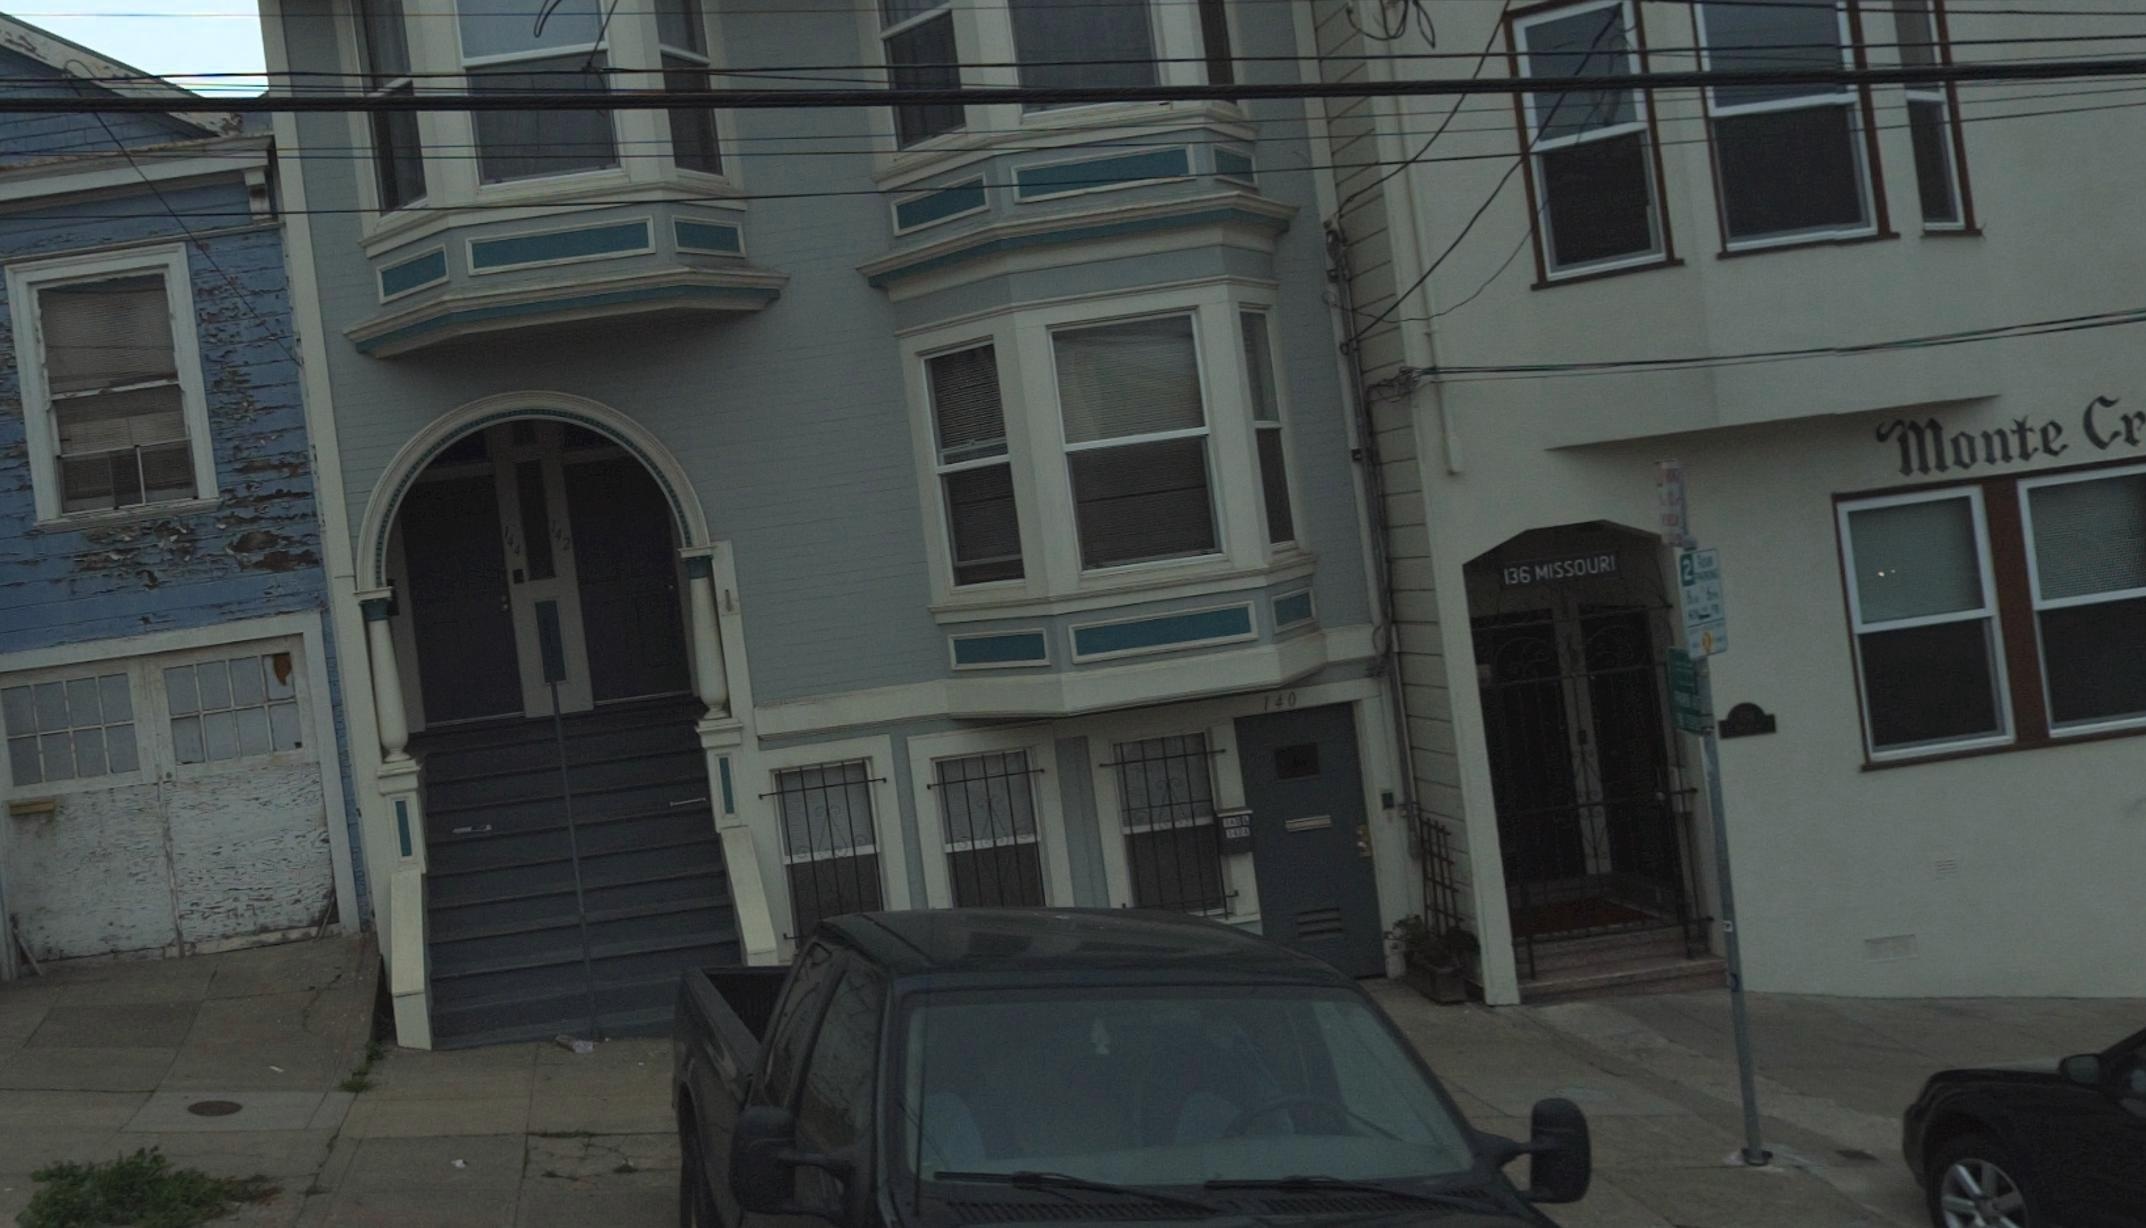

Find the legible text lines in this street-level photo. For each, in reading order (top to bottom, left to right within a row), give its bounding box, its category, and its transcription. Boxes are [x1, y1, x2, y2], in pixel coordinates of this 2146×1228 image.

[1890, 389, 2144, 481] BusinessName: Monte
[502, 522, 523, 563] StreetNumber: 144
[548, 518, 572, 554] StreetNumber: 142
[1502, 565, 1532, 587] StreetNumber: 136
[1533, 554, 1617, 582] StreetName: MISSOURI
[1681, 559, 1693, 582] None: 2
[1697, 553, 1715, 567] None: HOUR
[1693, 569, 1721, 584] None: PARKING
[1262, 691, 1298, 712] StreetNumber: 140